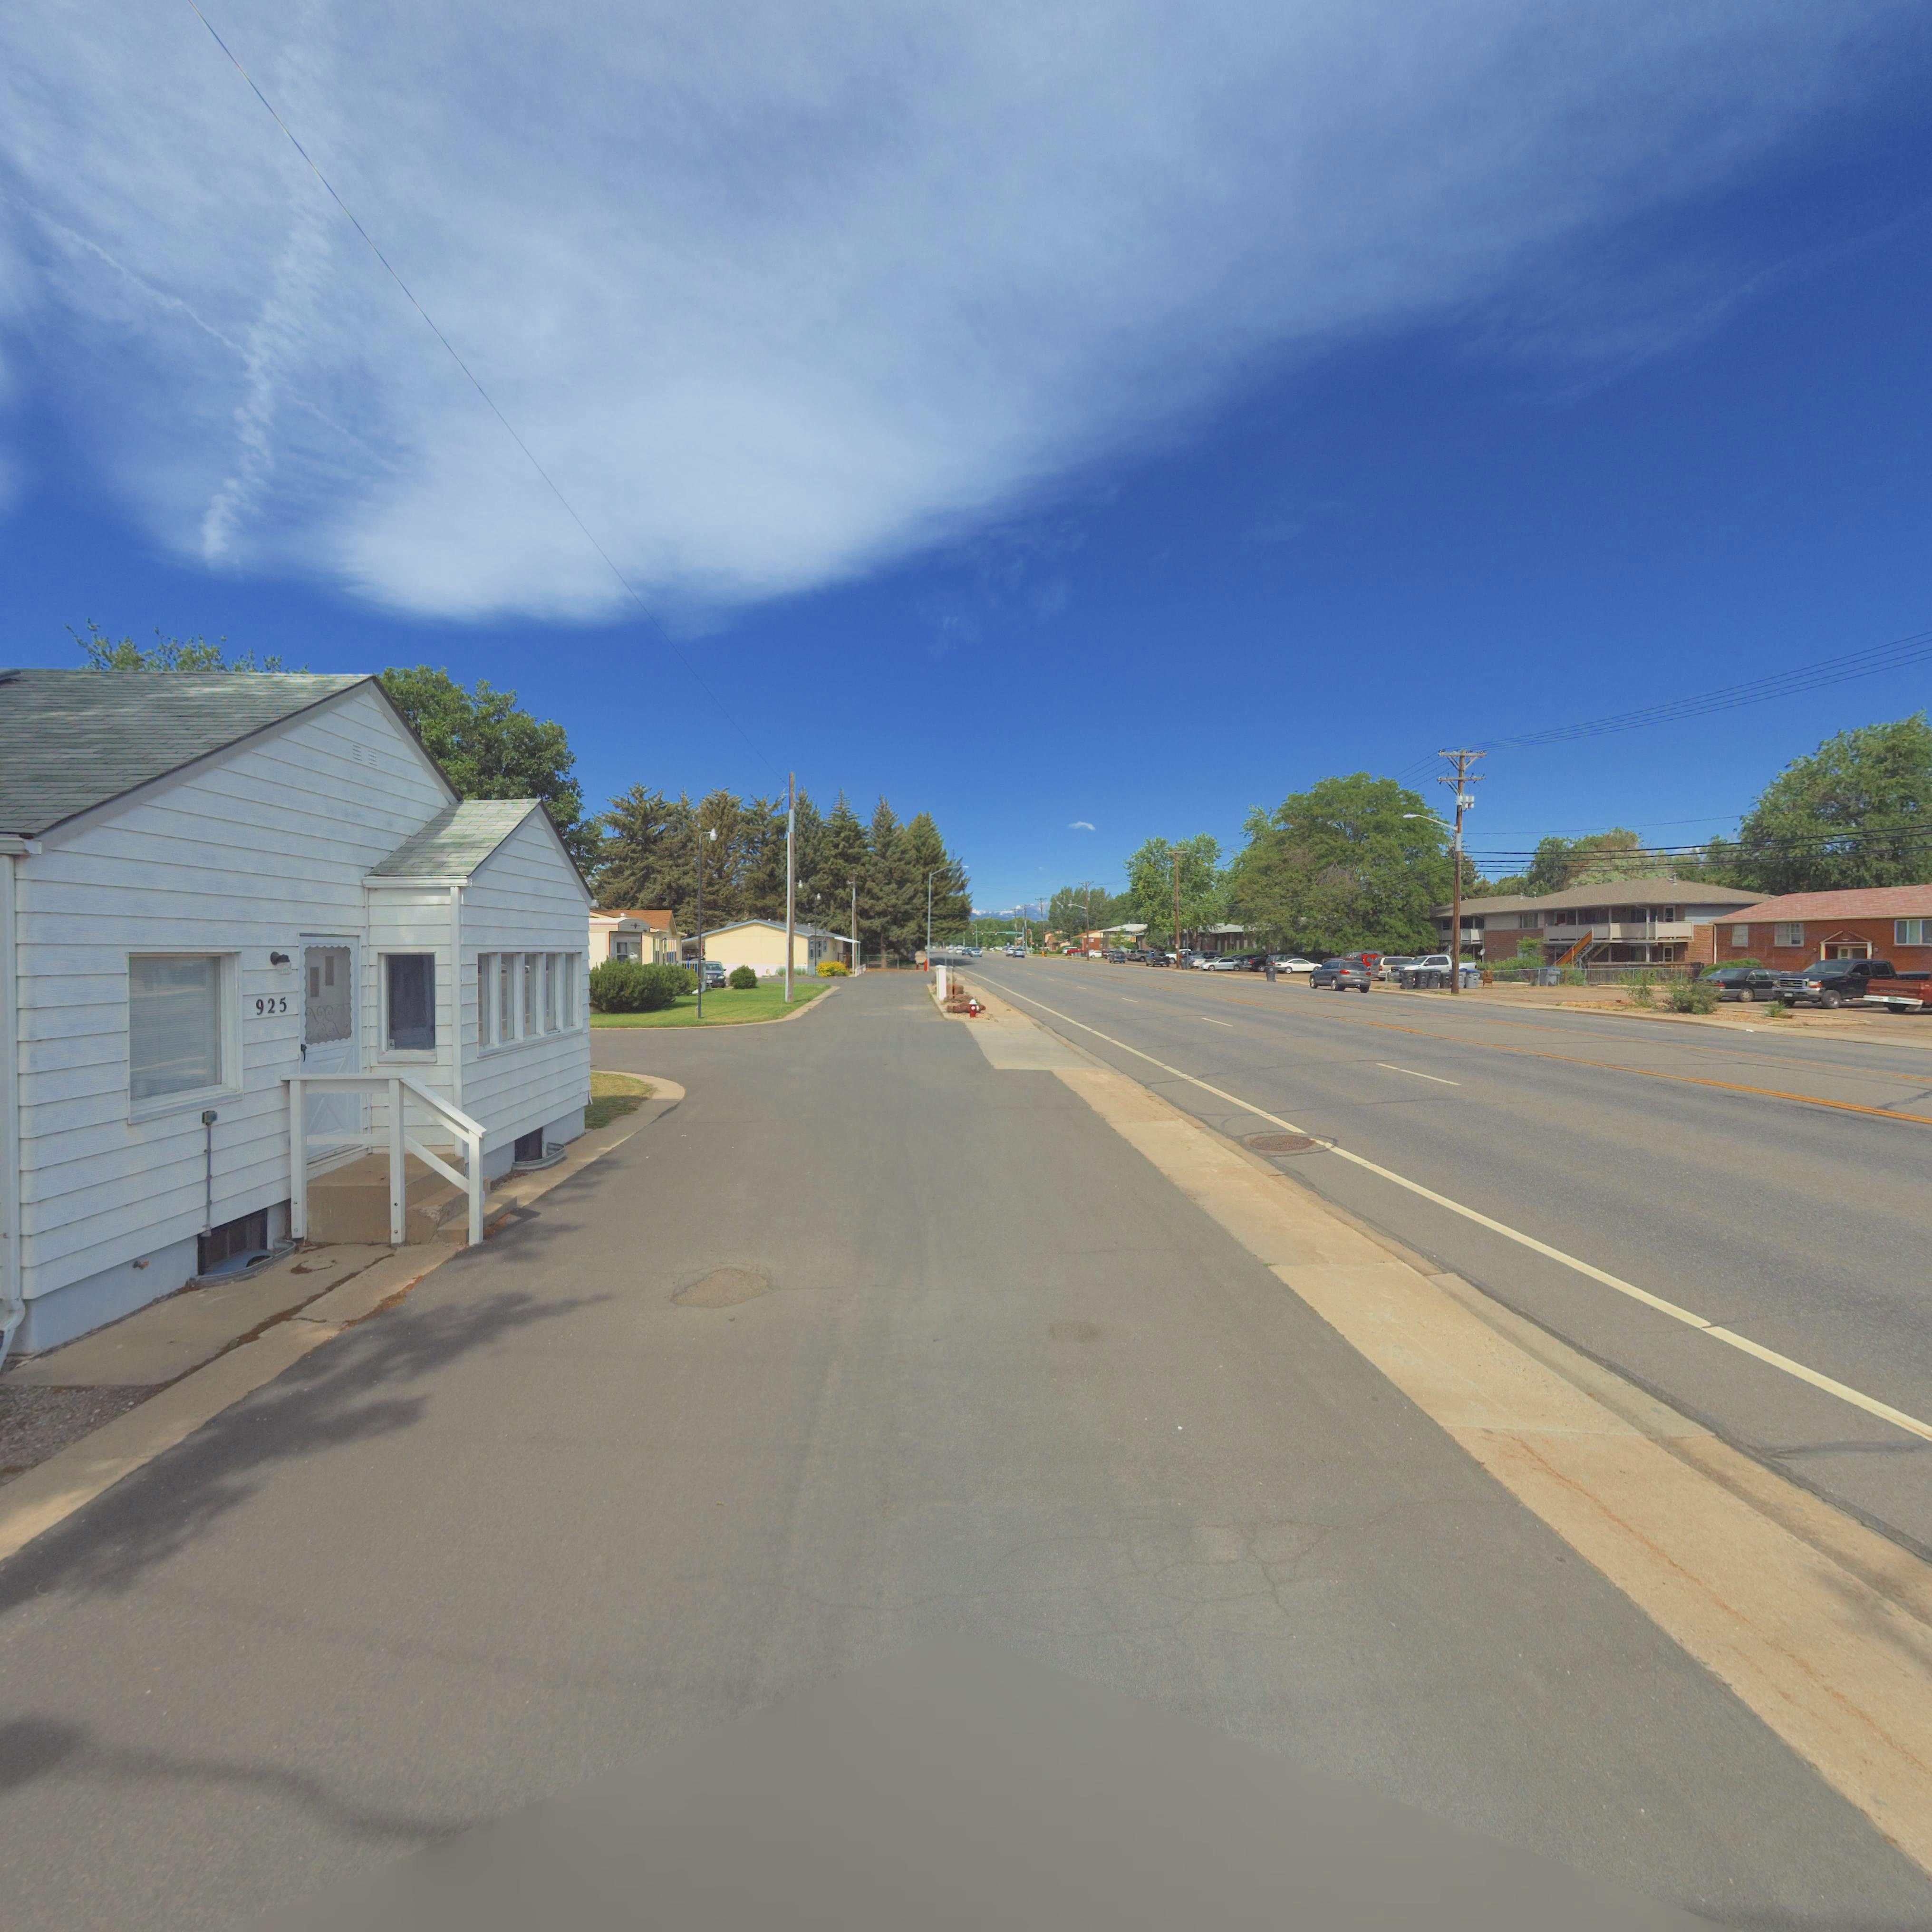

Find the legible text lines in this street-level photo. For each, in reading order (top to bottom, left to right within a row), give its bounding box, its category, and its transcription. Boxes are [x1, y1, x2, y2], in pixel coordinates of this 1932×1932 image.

[255, 996, 287, 1016] StreetNumber: 925